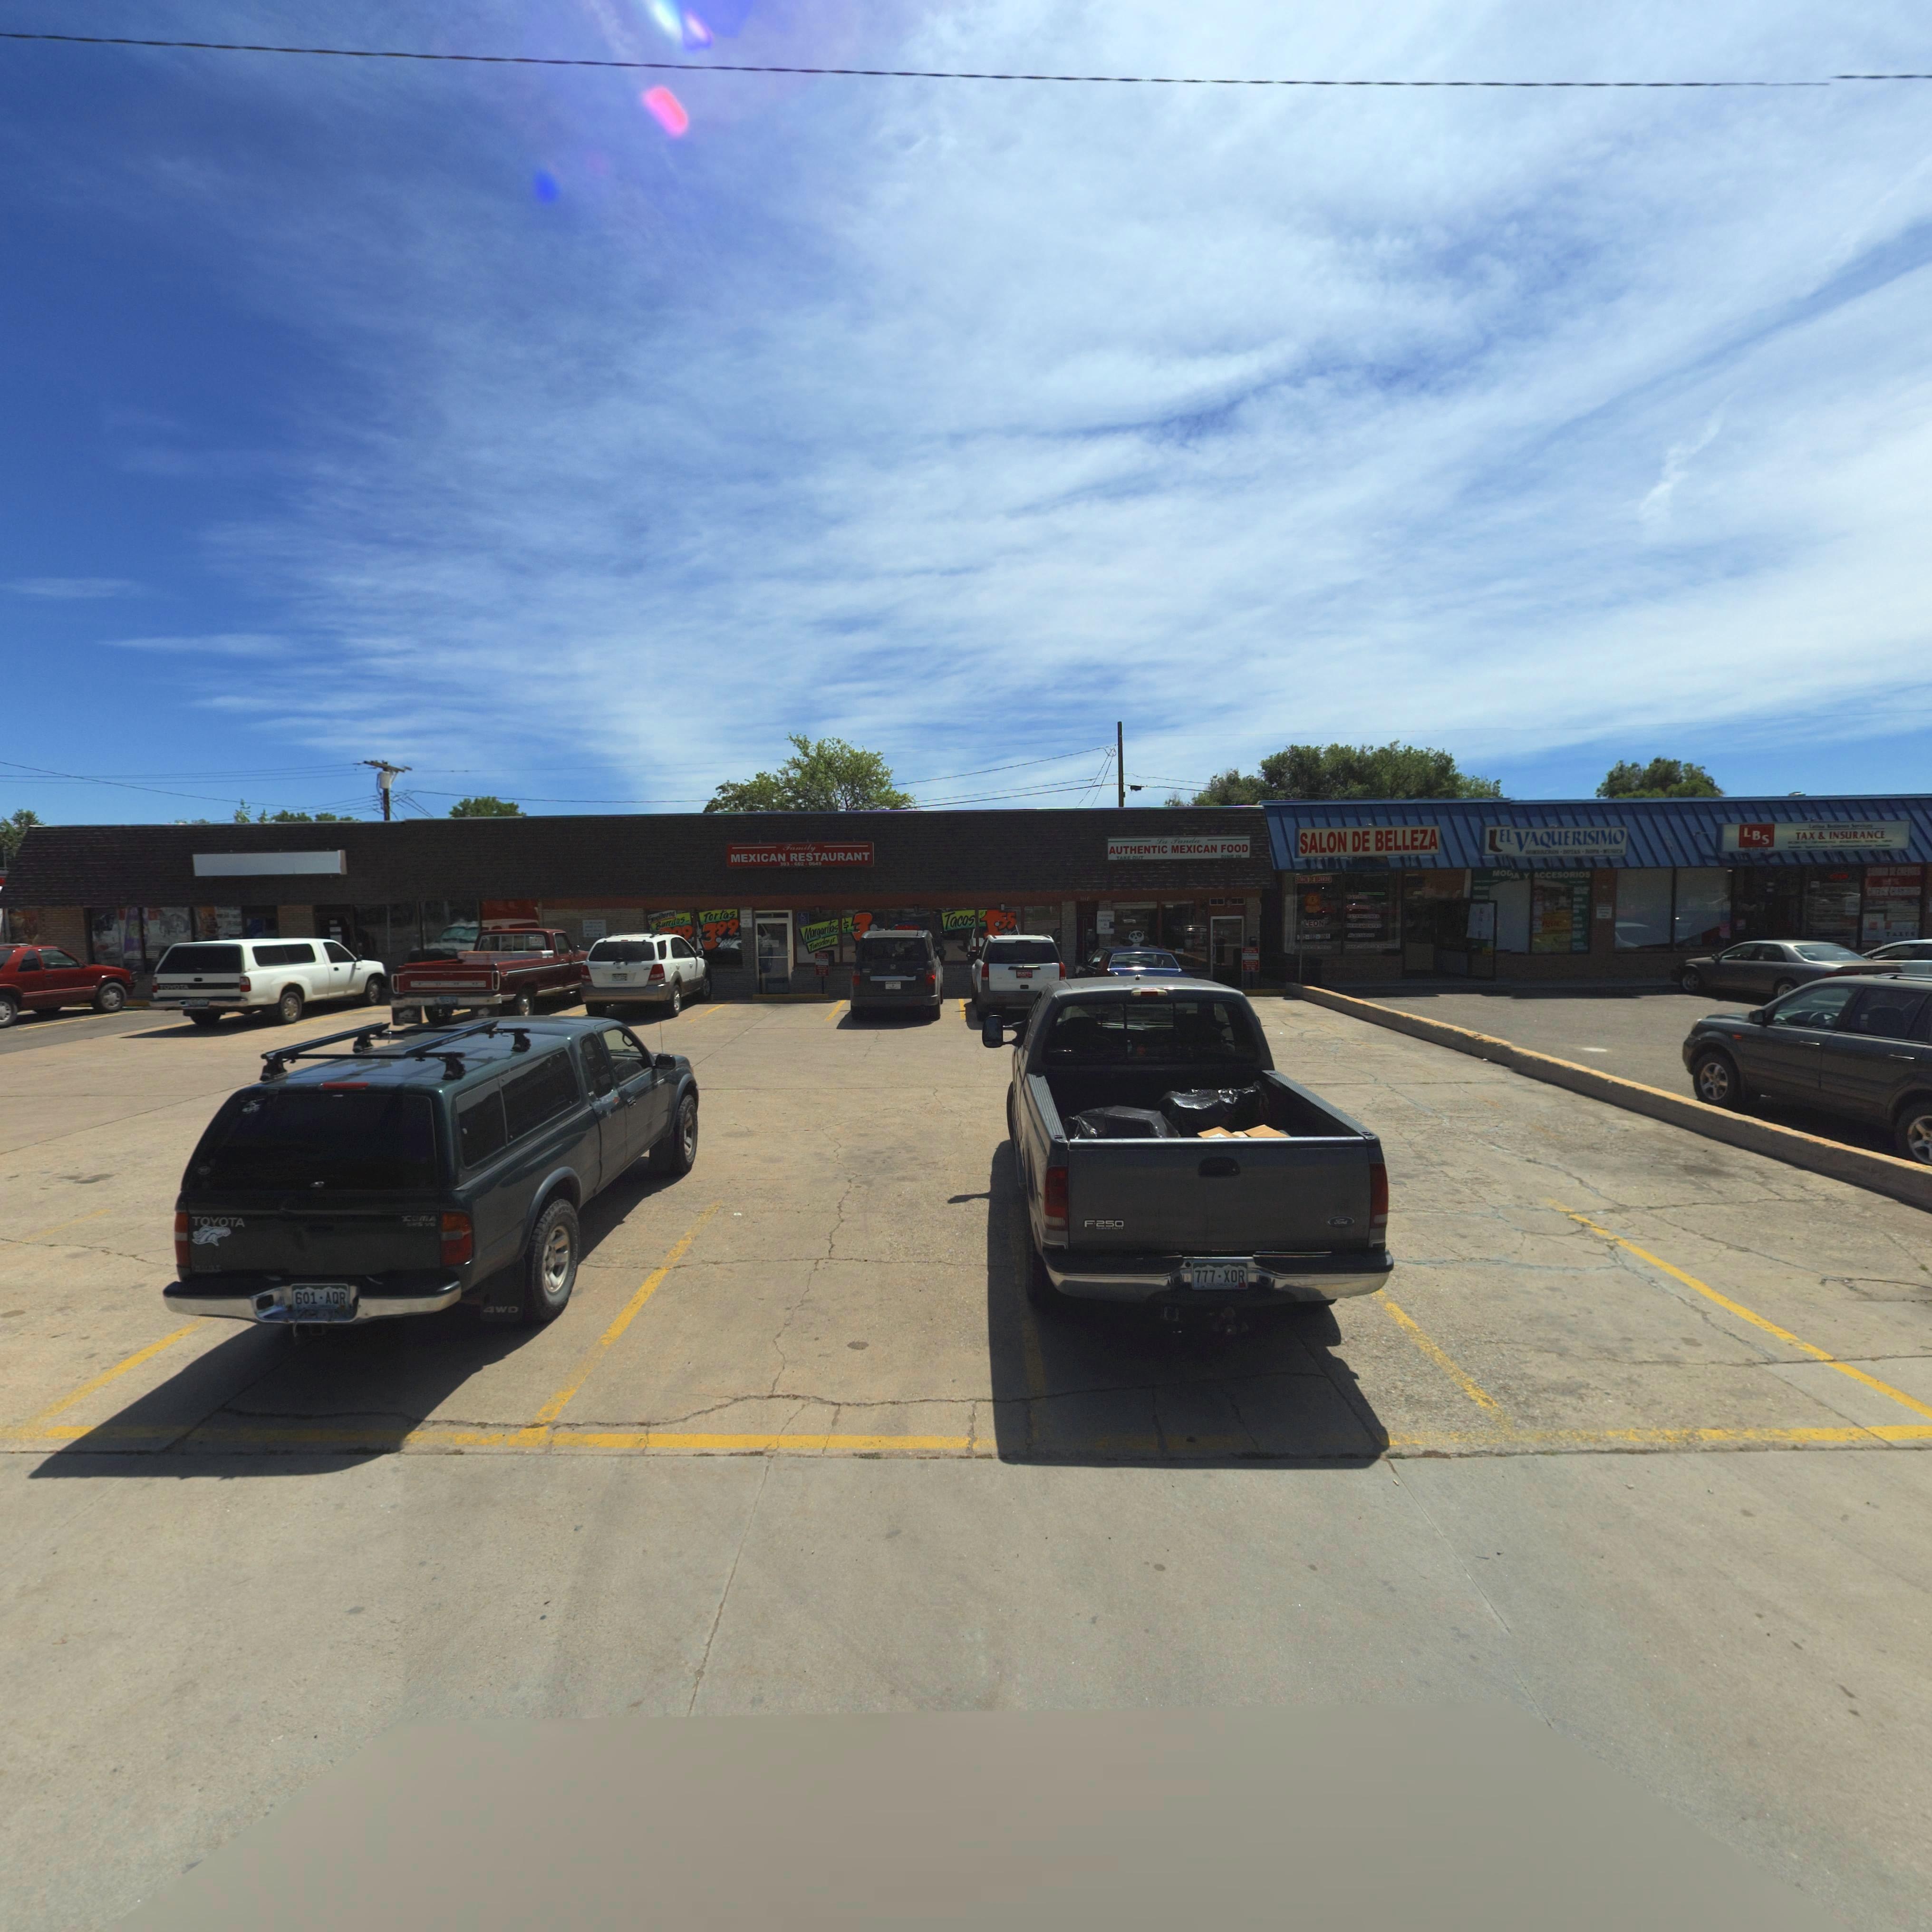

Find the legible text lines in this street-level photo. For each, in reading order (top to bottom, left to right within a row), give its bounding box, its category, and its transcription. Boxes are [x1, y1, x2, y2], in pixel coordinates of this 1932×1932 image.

[1808, 823, 1873, 829] BusinessName: La**** ******** S*******
[1157, 837, 1200, 844] BusinessName: La Panda
[1299, 828, 1439, 854] BusinessName: SALON DE BELLEZA
[1499, 829, 1625, 853] BusinessName: ELVAQUERISIMO
[1744, 827, 1770, 845] BusinessName: LBS
[782, 843, 816, 852] BusinessName: Family
[1108, 843, 1248, 854] BusinessName: AUTHENTIC MEXICAN FOOD
[730, 851, 870, 863] BusinessName: MEXICAN RESTAURANT
[1294, 875, 1332, 883] BusinessName: SALON DE BELLEZA
[1080, 895, 1090, 900] StreetNumber: 111*